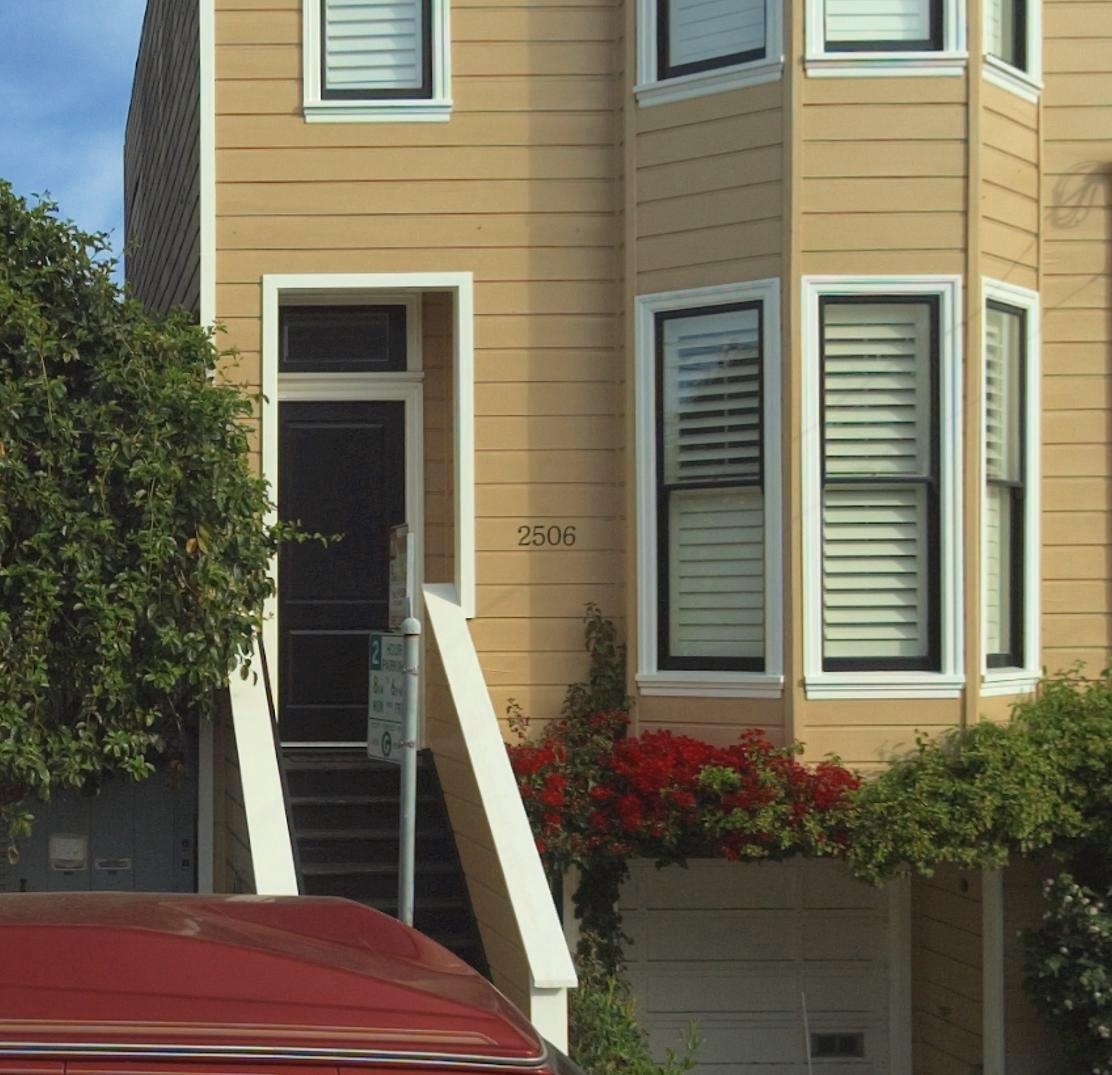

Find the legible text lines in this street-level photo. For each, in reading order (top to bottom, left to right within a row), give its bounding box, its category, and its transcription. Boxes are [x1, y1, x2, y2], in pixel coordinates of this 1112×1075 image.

[515, 523, 578, 548] StreetNumber: 2506
[369, 637, 382, 666] None: 2
[384, 640, 403, 658] None: HOUR
[371, 673, 380, 697] None: 8
[387, 677, 400, 698] None: 6
[380, 731, 392, 755] None: G